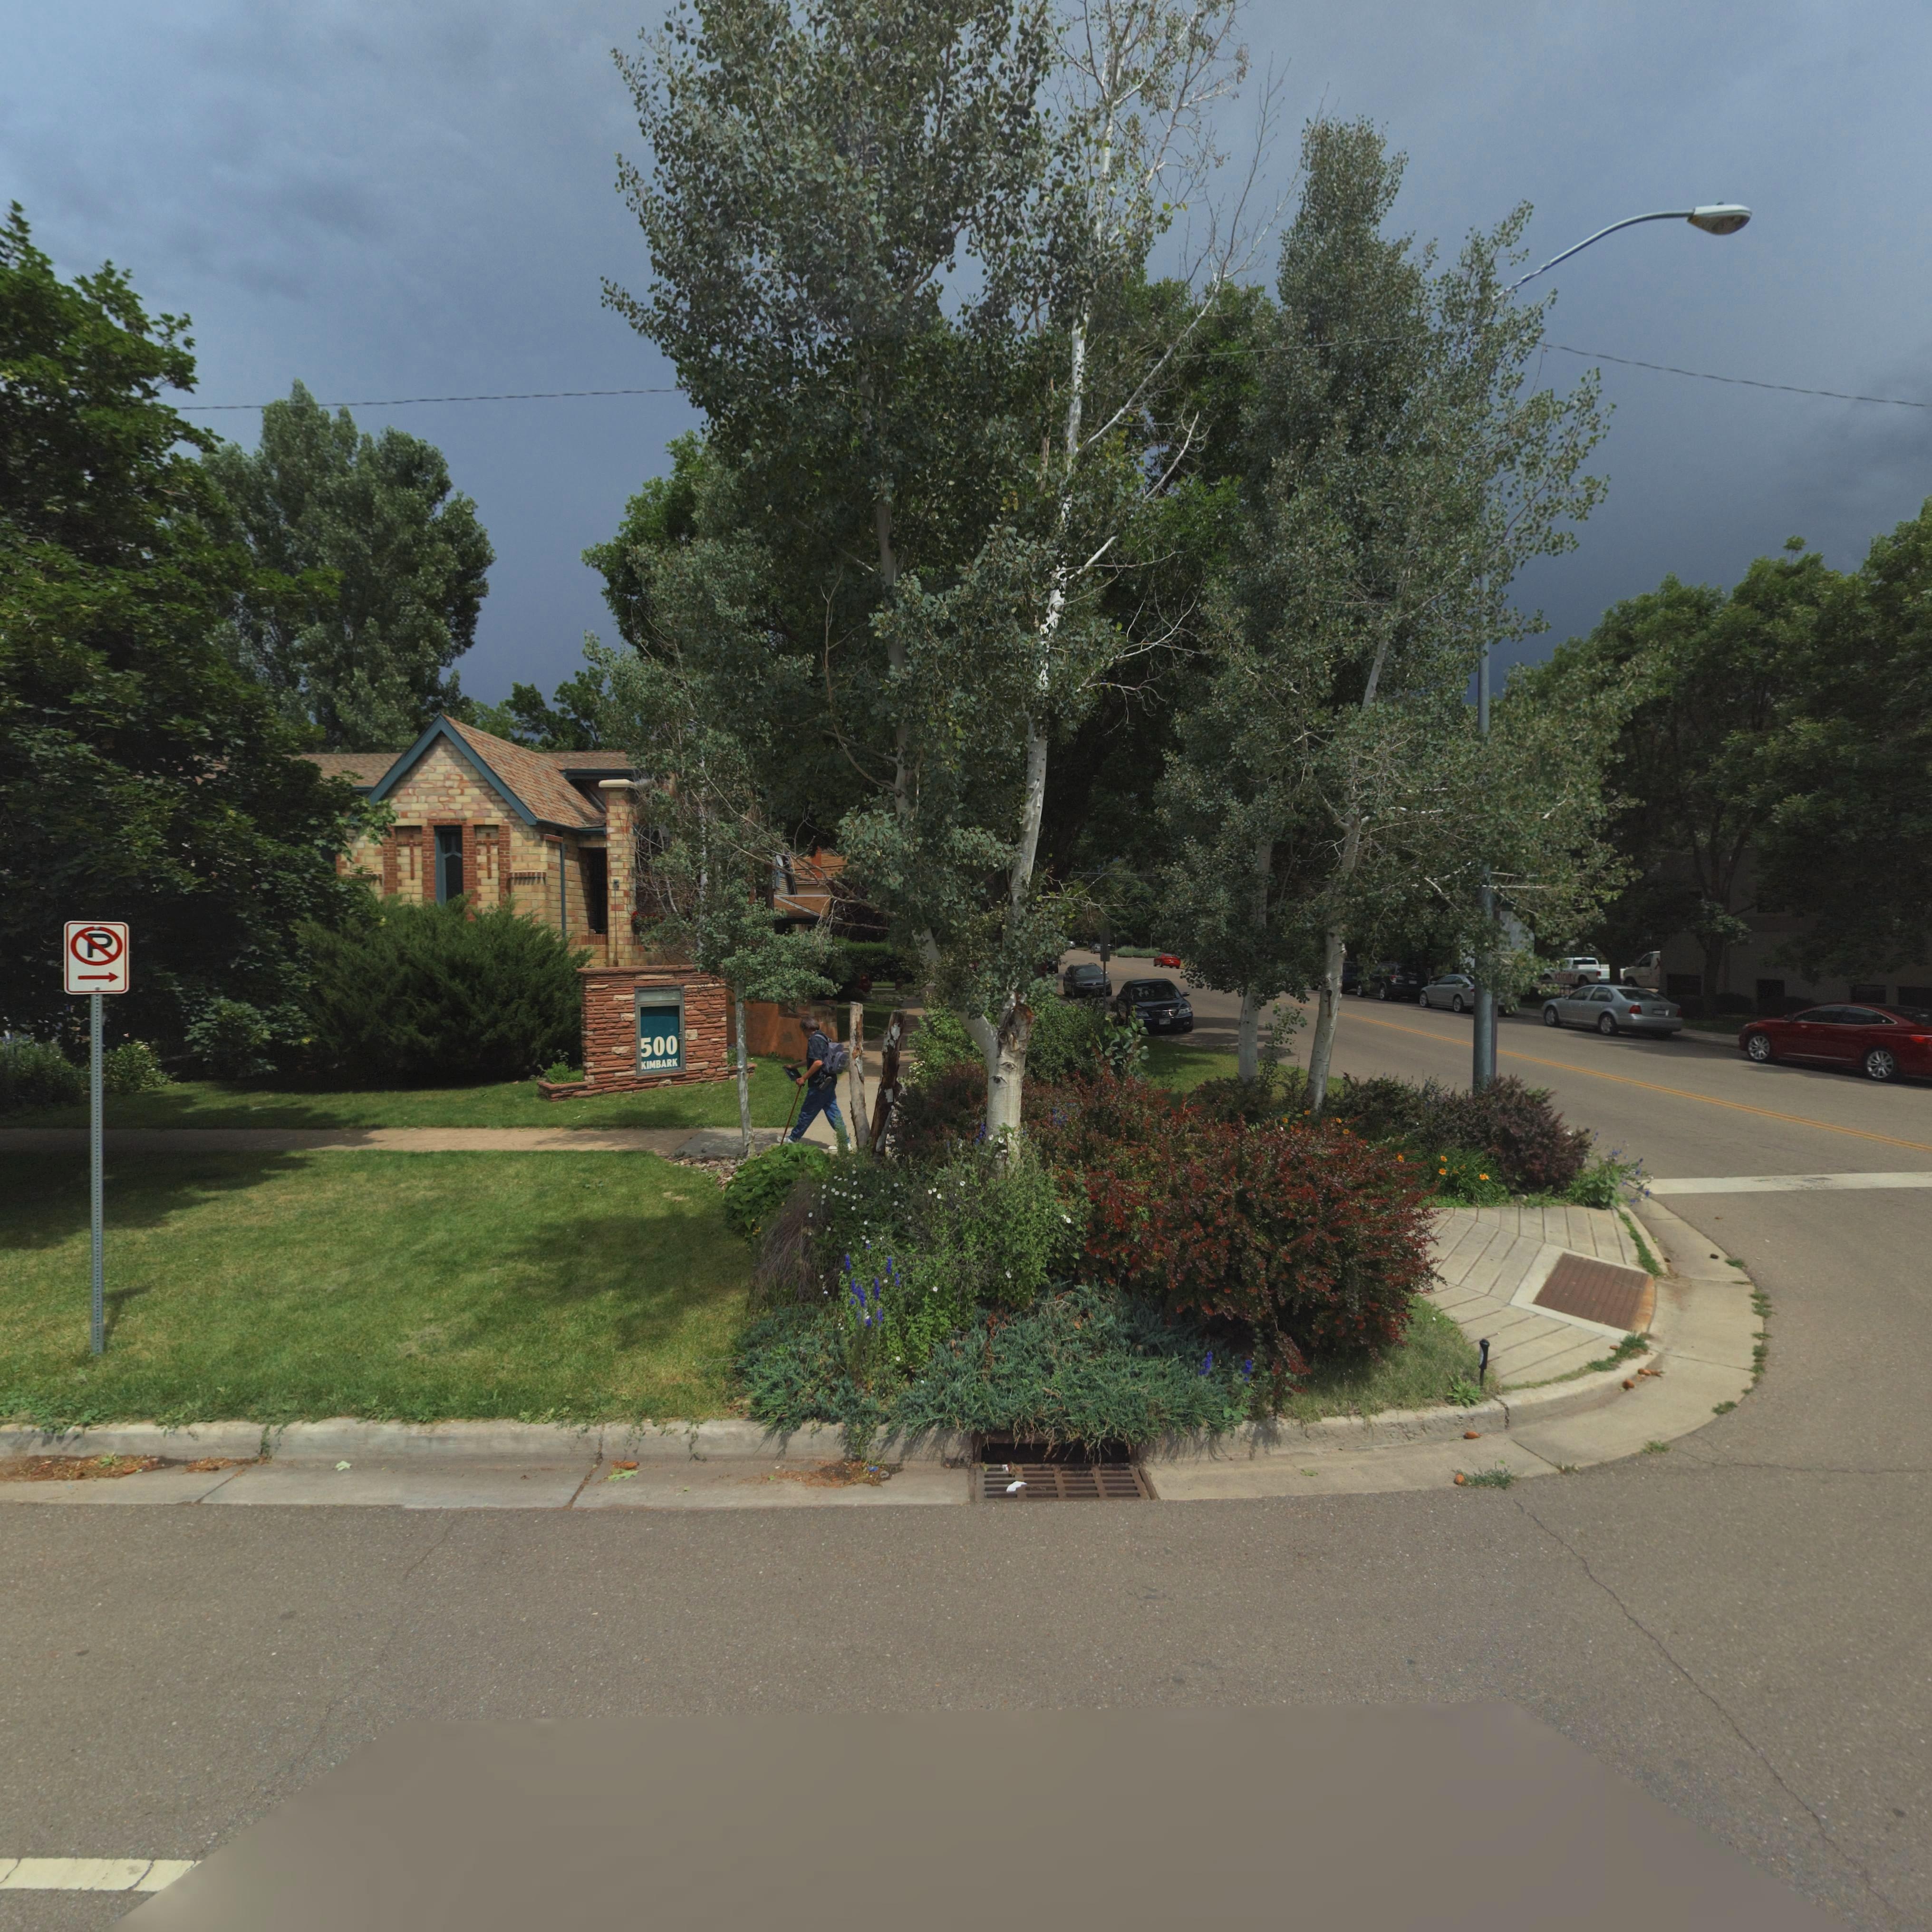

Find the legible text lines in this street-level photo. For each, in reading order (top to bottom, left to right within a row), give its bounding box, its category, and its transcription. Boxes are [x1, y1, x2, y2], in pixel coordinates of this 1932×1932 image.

[640, 1034, 678, 1058] StreetNumber: 500
[640, 1058, 678, 1070] StreetName: KIMBARK